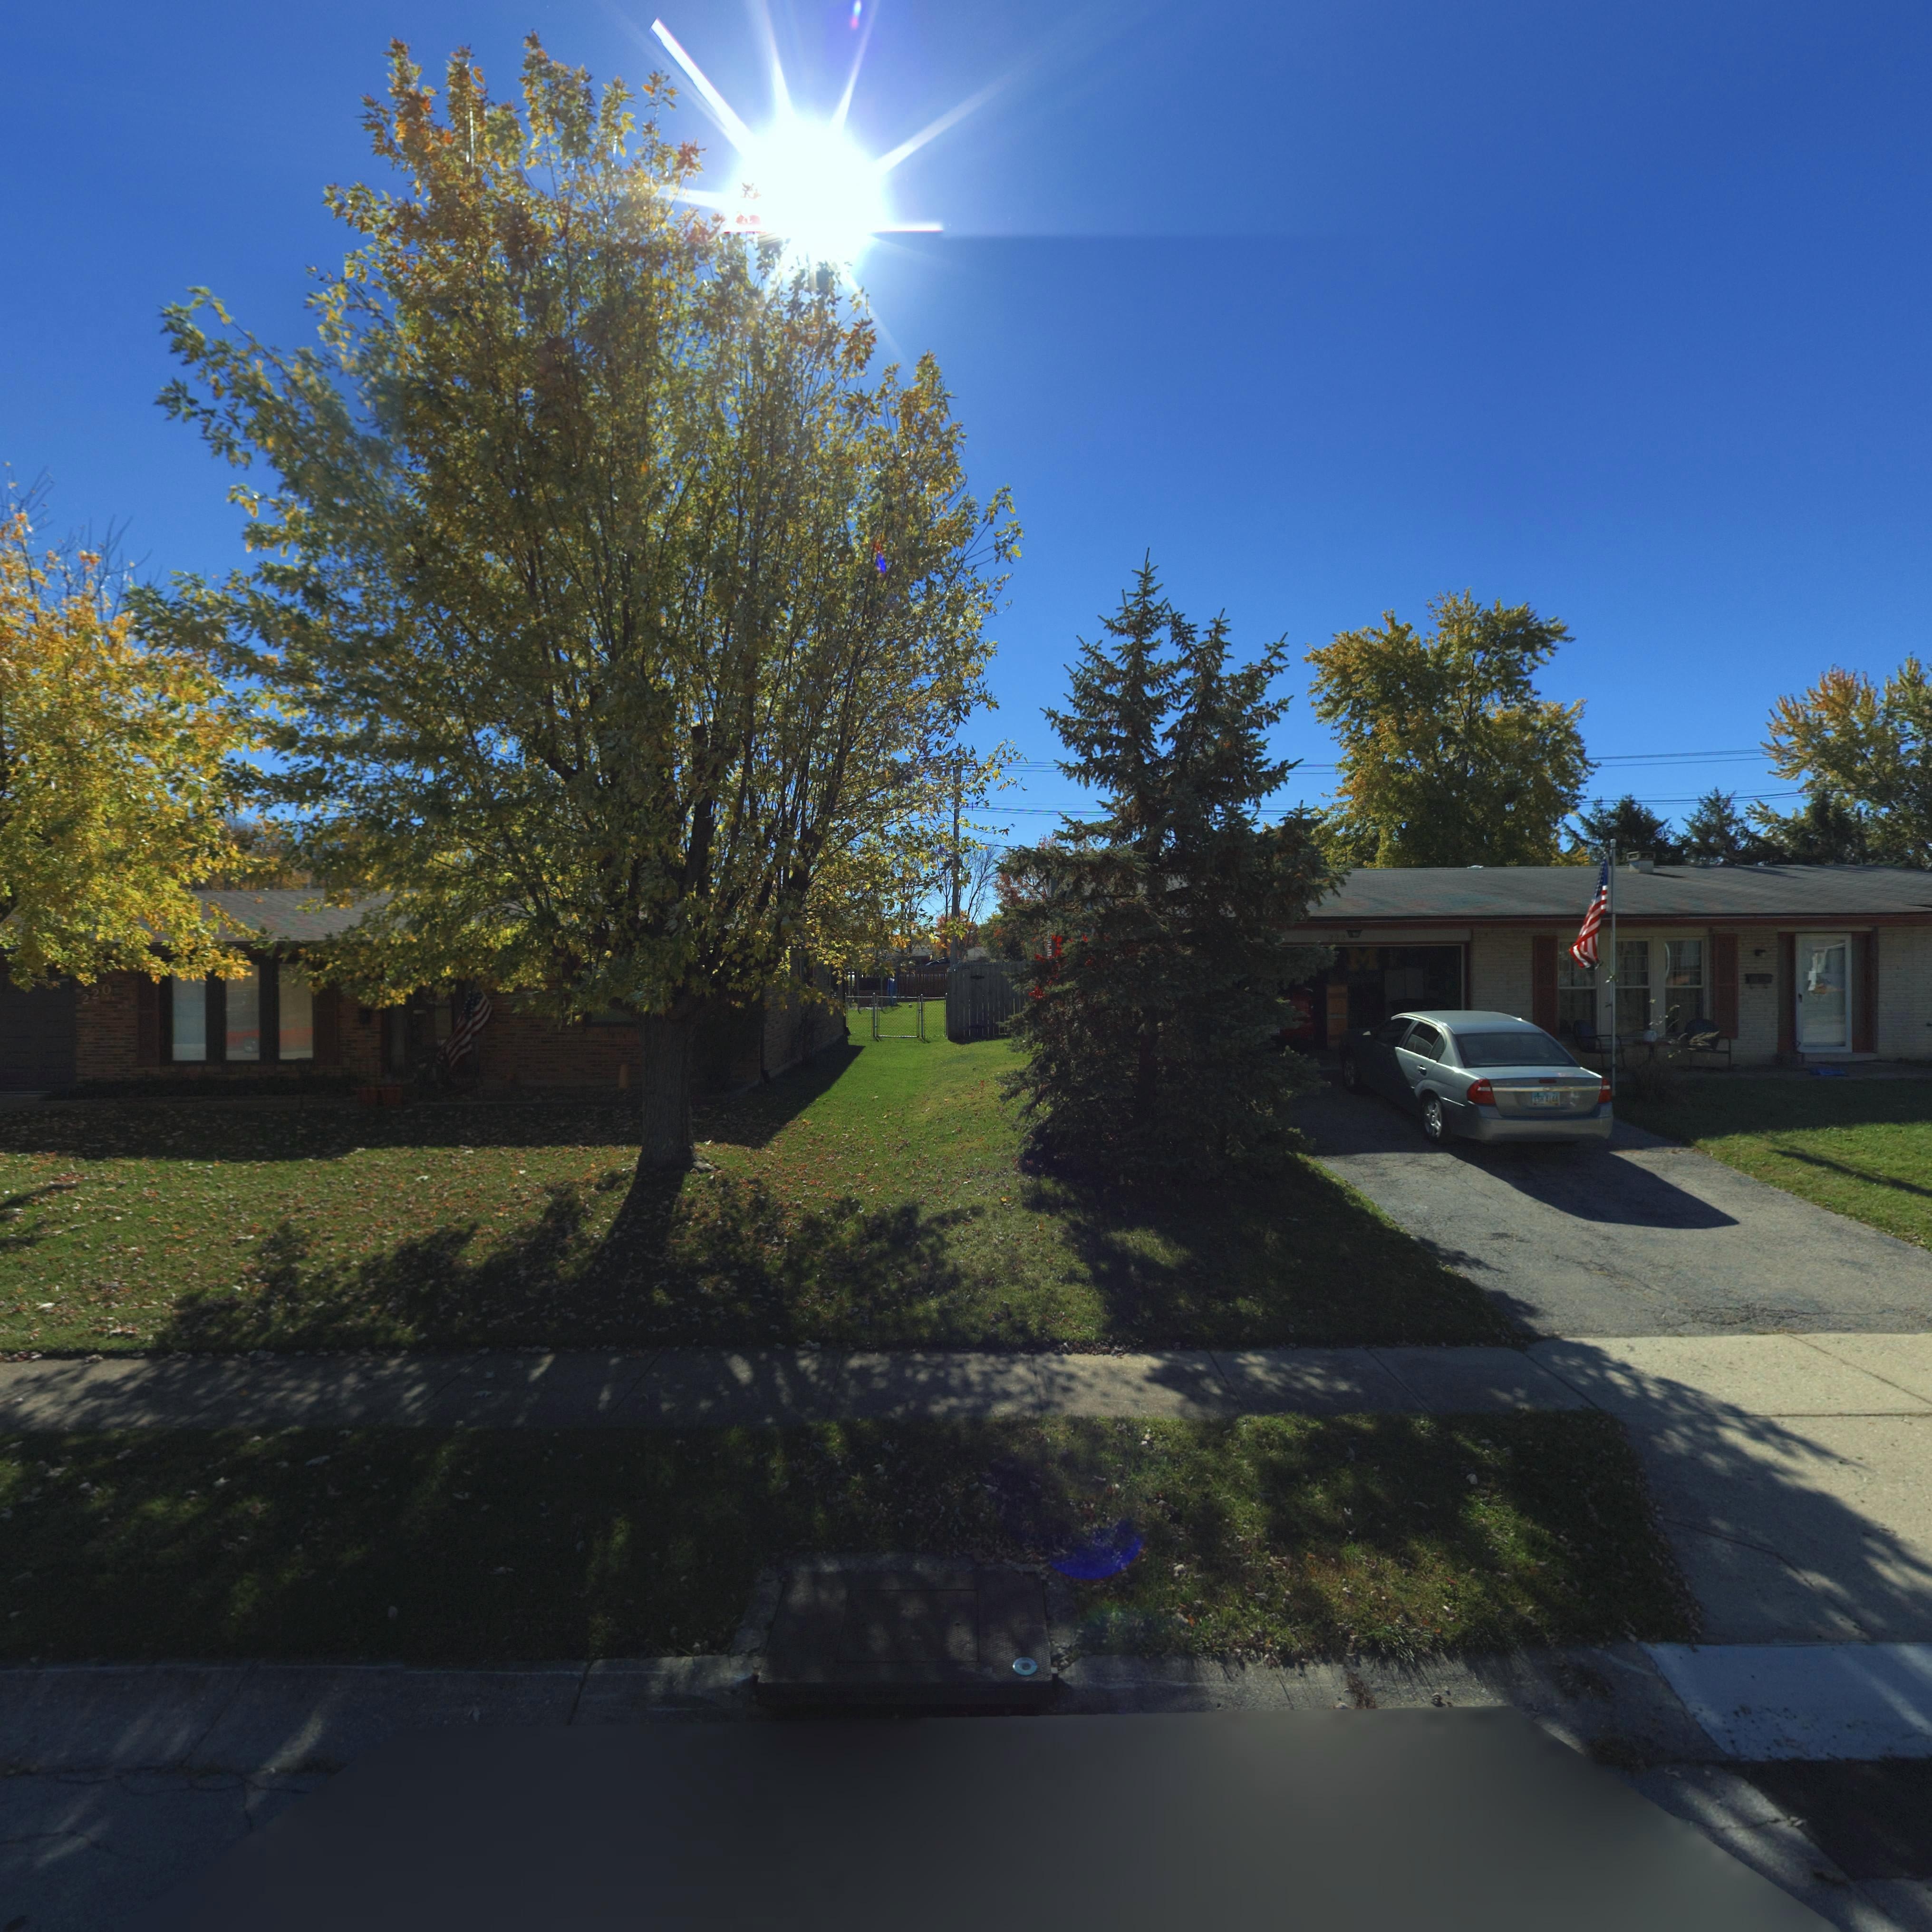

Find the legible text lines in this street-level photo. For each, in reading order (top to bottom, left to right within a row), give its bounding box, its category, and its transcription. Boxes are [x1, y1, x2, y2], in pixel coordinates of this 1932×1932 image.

[1327, 934, 1346, 941] StreetNumber: 222